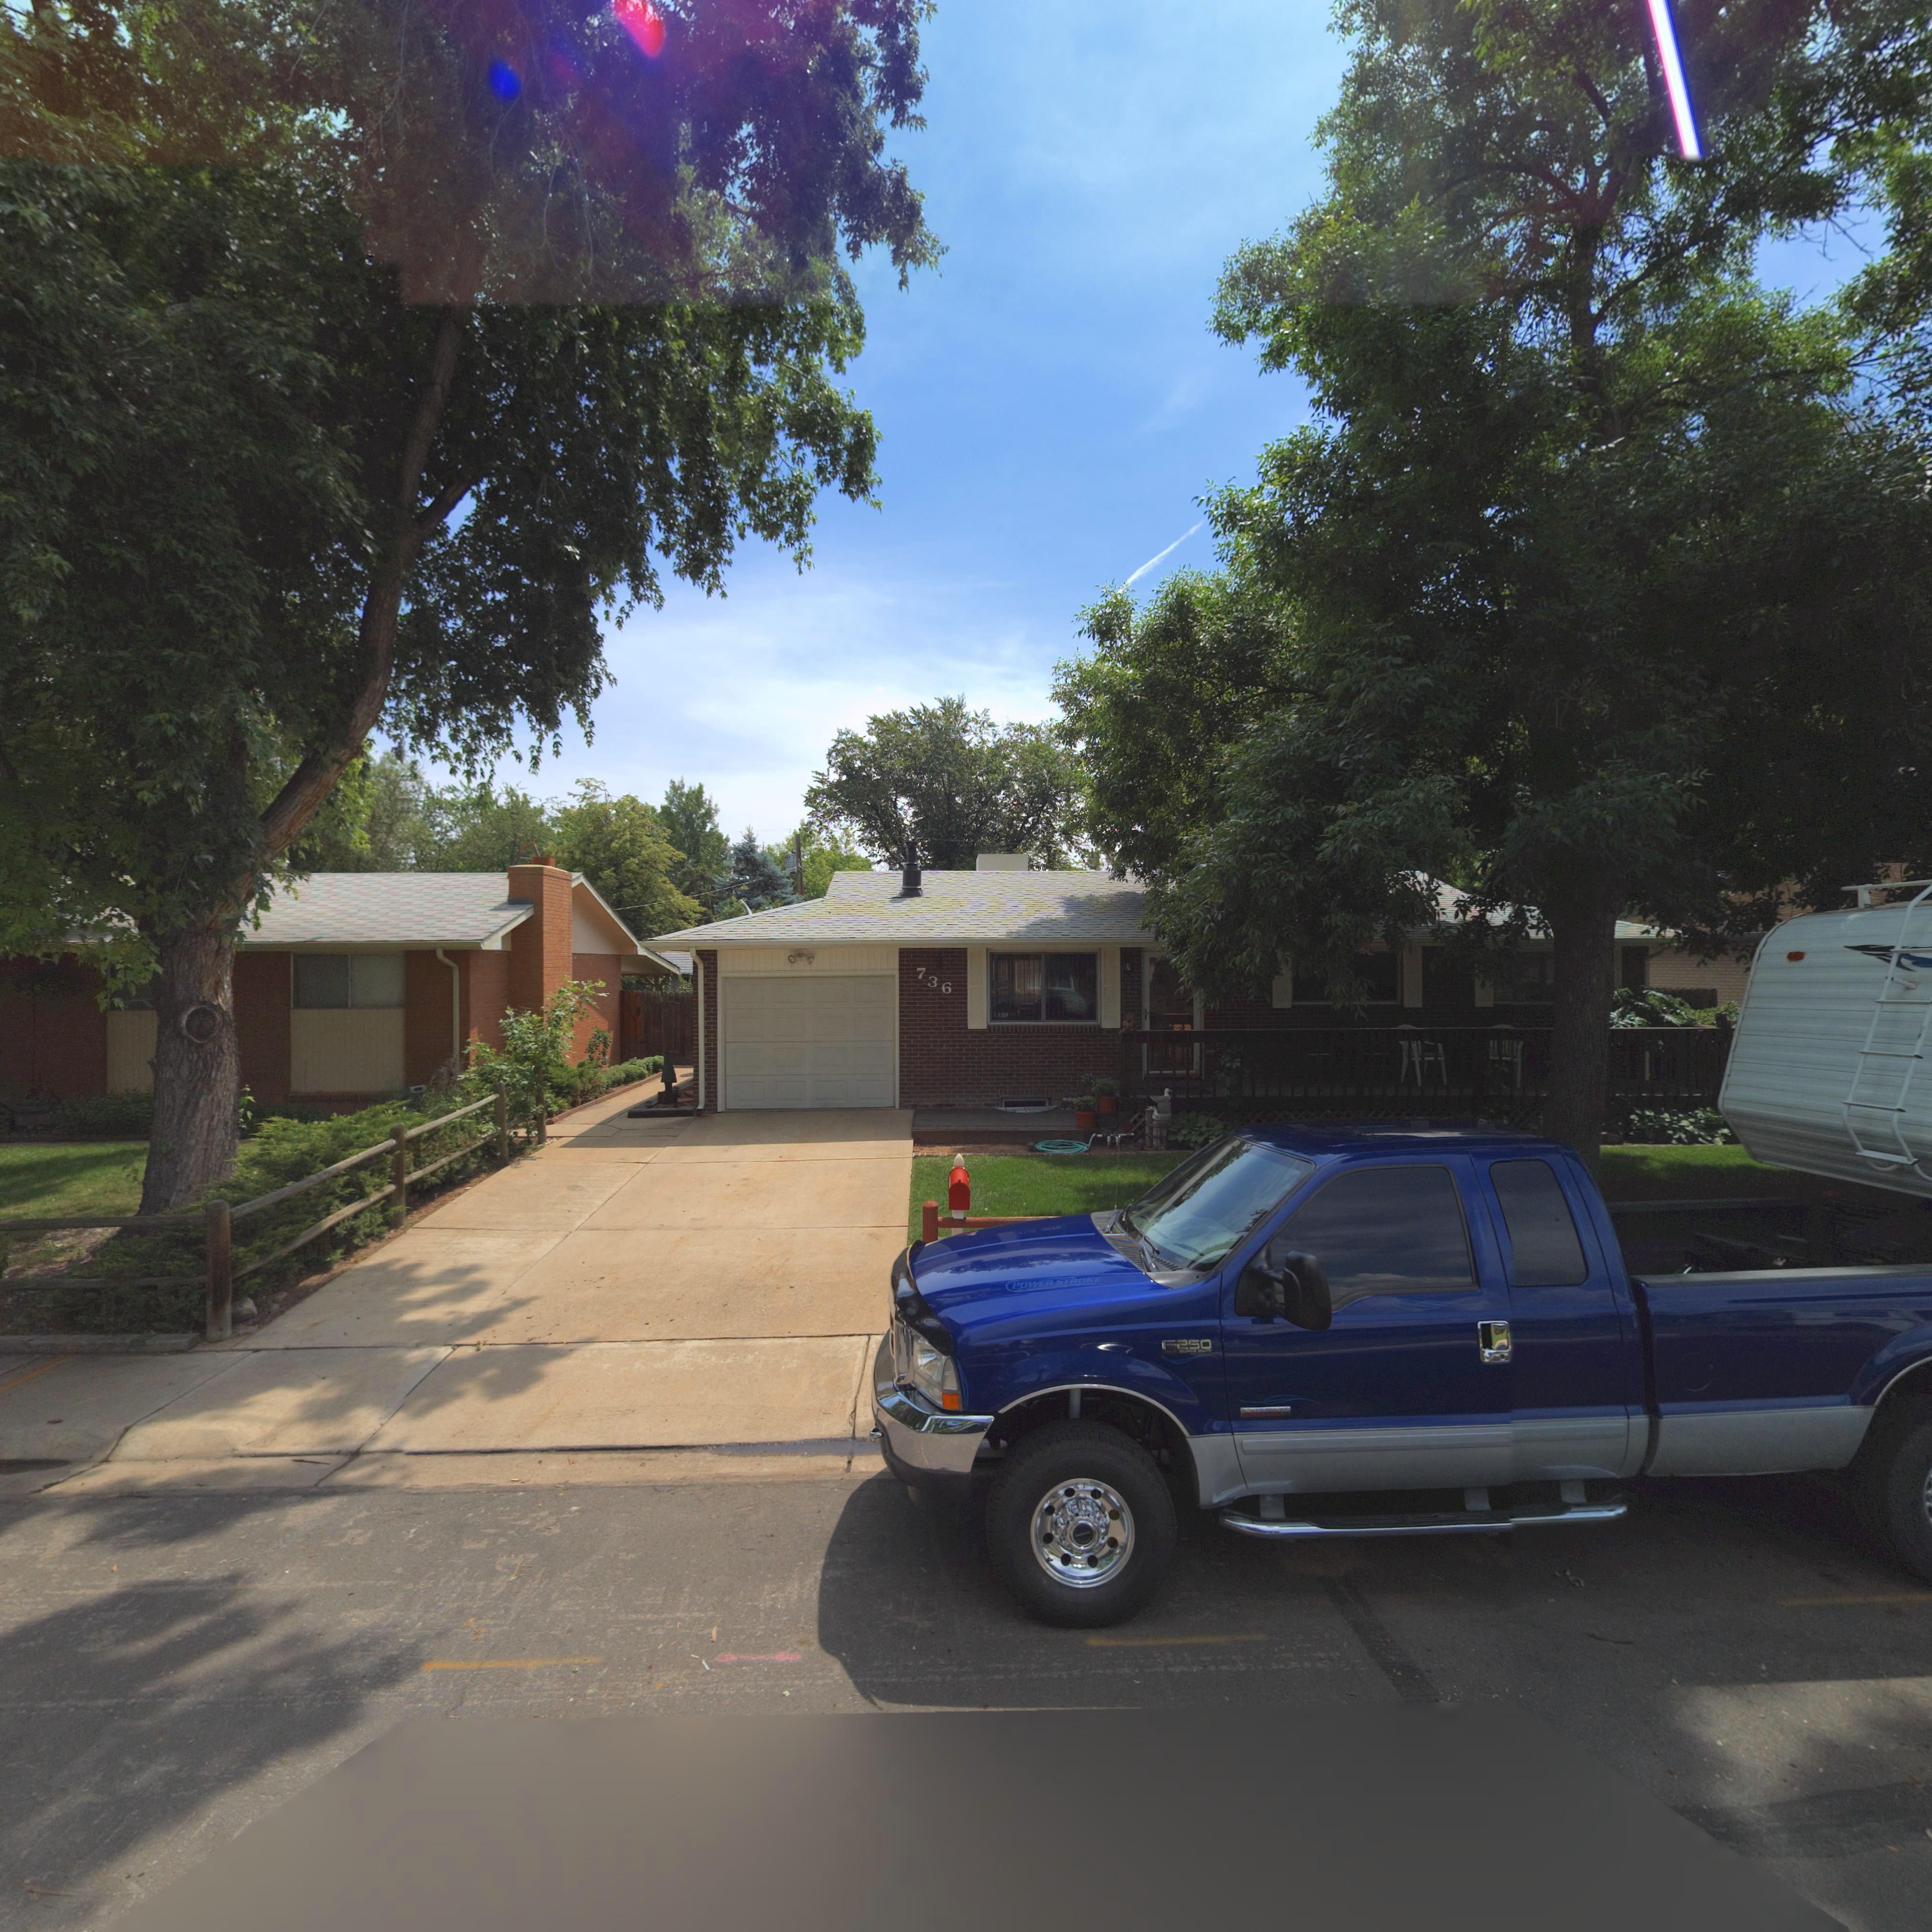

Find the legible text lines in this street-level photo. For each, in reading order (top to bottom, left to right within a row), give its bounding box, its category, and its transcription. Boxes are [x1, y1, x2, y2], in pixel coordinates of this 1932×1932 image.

[916, 967, 952, 994] StreetNumber: 736